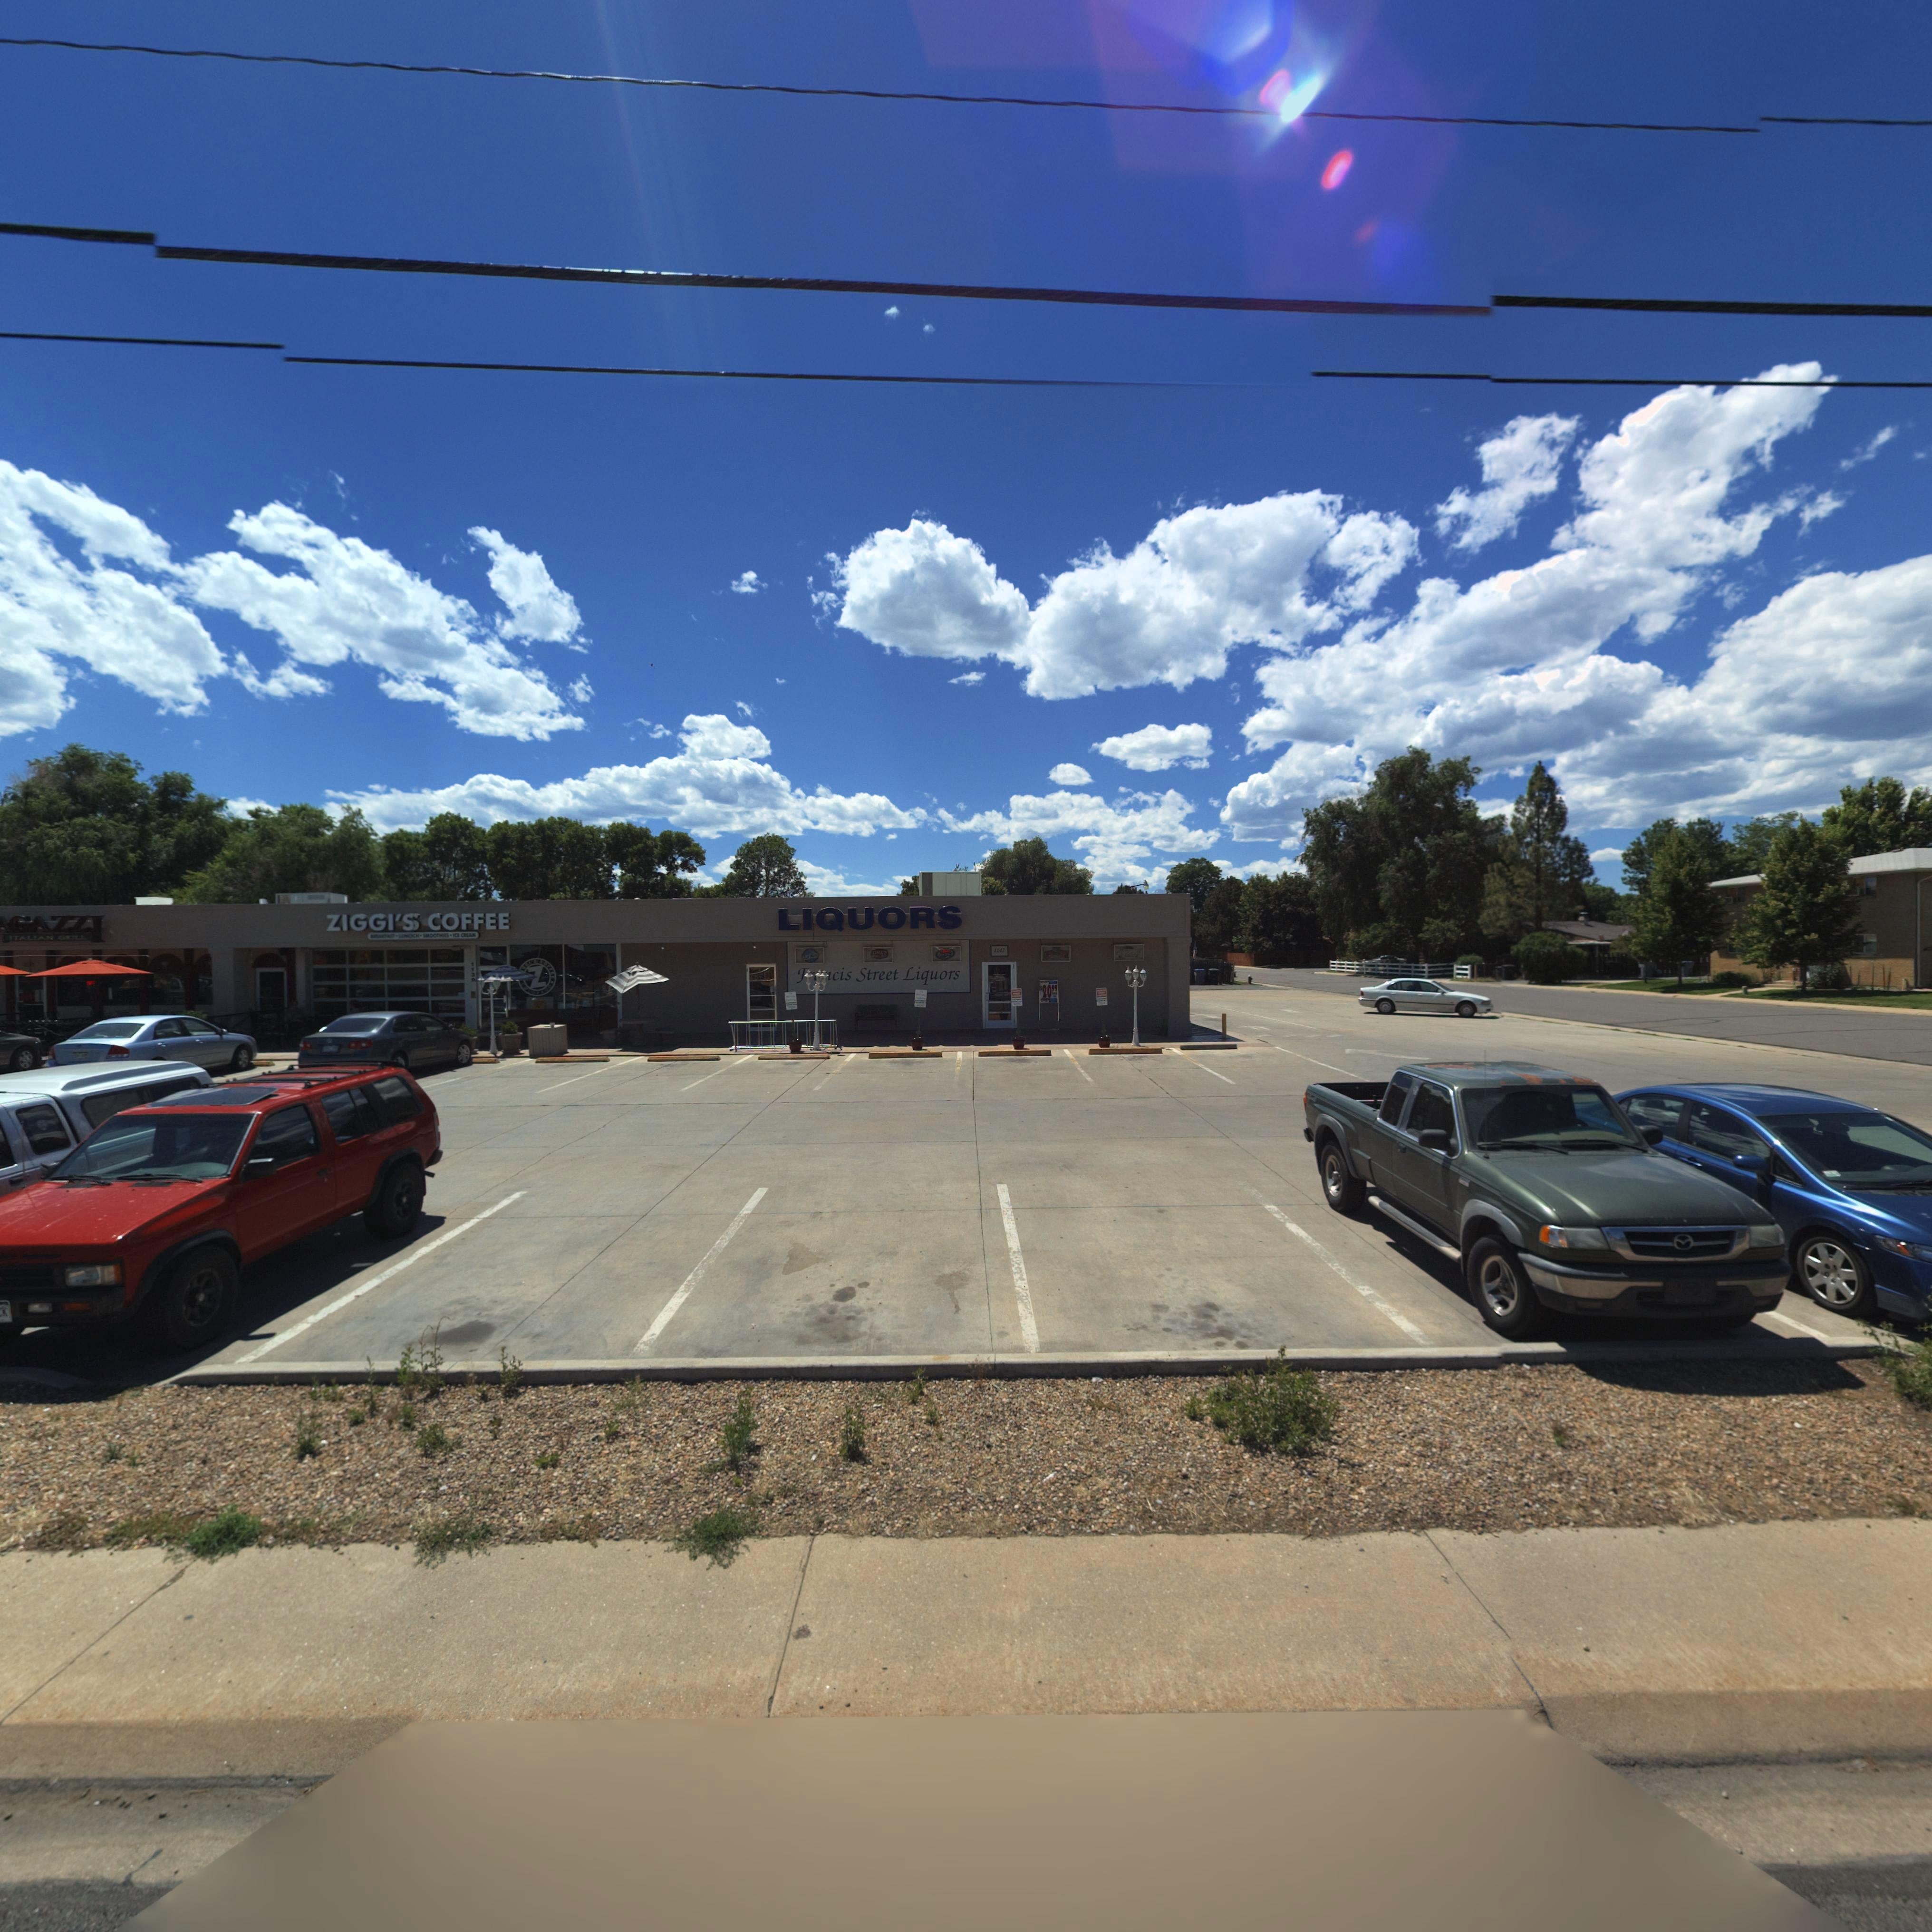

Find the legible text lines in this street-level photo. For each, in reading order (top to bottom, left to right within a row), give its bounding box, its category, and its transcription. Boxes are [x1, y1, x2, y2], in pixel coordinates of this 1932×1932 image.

[9, 935, 88, 941] BusinessName: ITALIAN GRILL
[7, 914, 106, 943] BusinessName: GAZZI
[325, 911, 510, 932] BusinessName: ZIGGI*S* COFFEE
[776, 904, 963, 933] BusinessName: LIQUORS
[993, 947, 1005, 953] StreetNumber: 1147
[470, 961, 475, 982] StreetNumber: 1139
[521, 959, 555, 979] BusinessName: GGI*S COFFEE
[795, 966, 960, 985] BusinessName: **cis Street Liquors